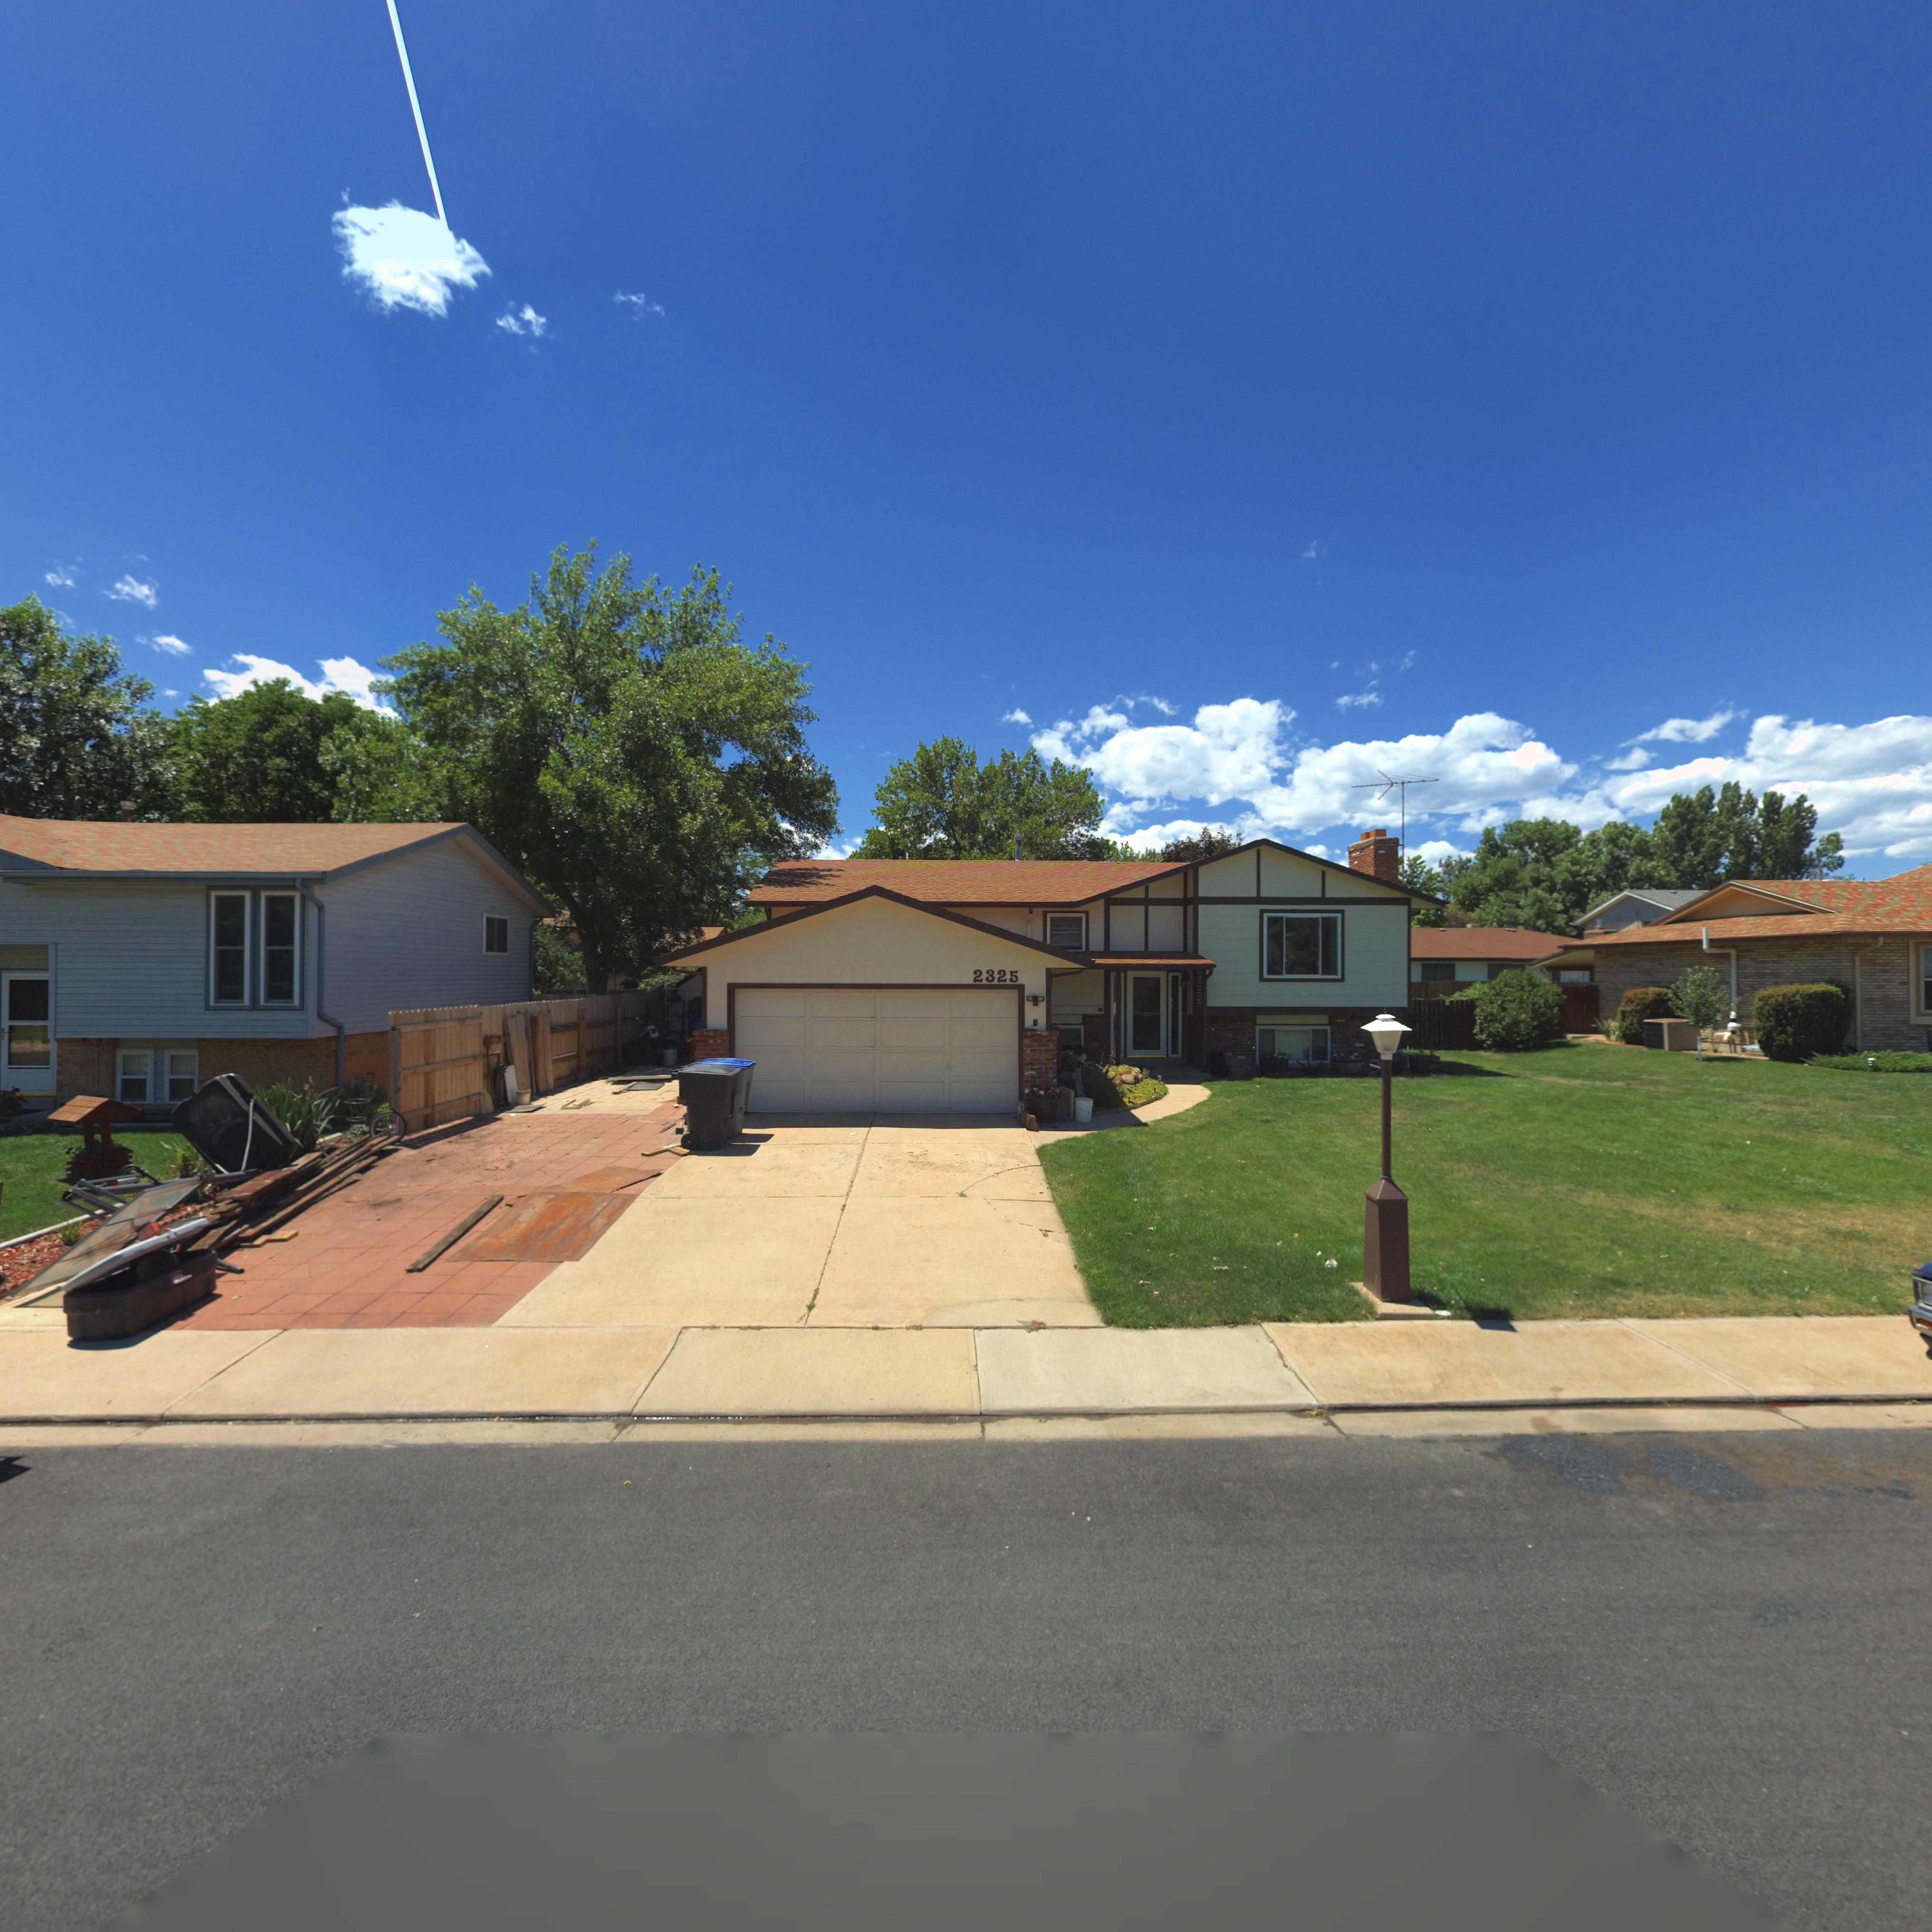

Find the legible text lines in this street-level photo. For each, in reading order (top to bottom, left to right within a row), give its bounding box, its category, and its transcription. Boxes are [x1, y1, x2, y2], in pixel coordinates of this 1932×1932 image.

[972, 968, 1019, 983] StreetNumber: 2325